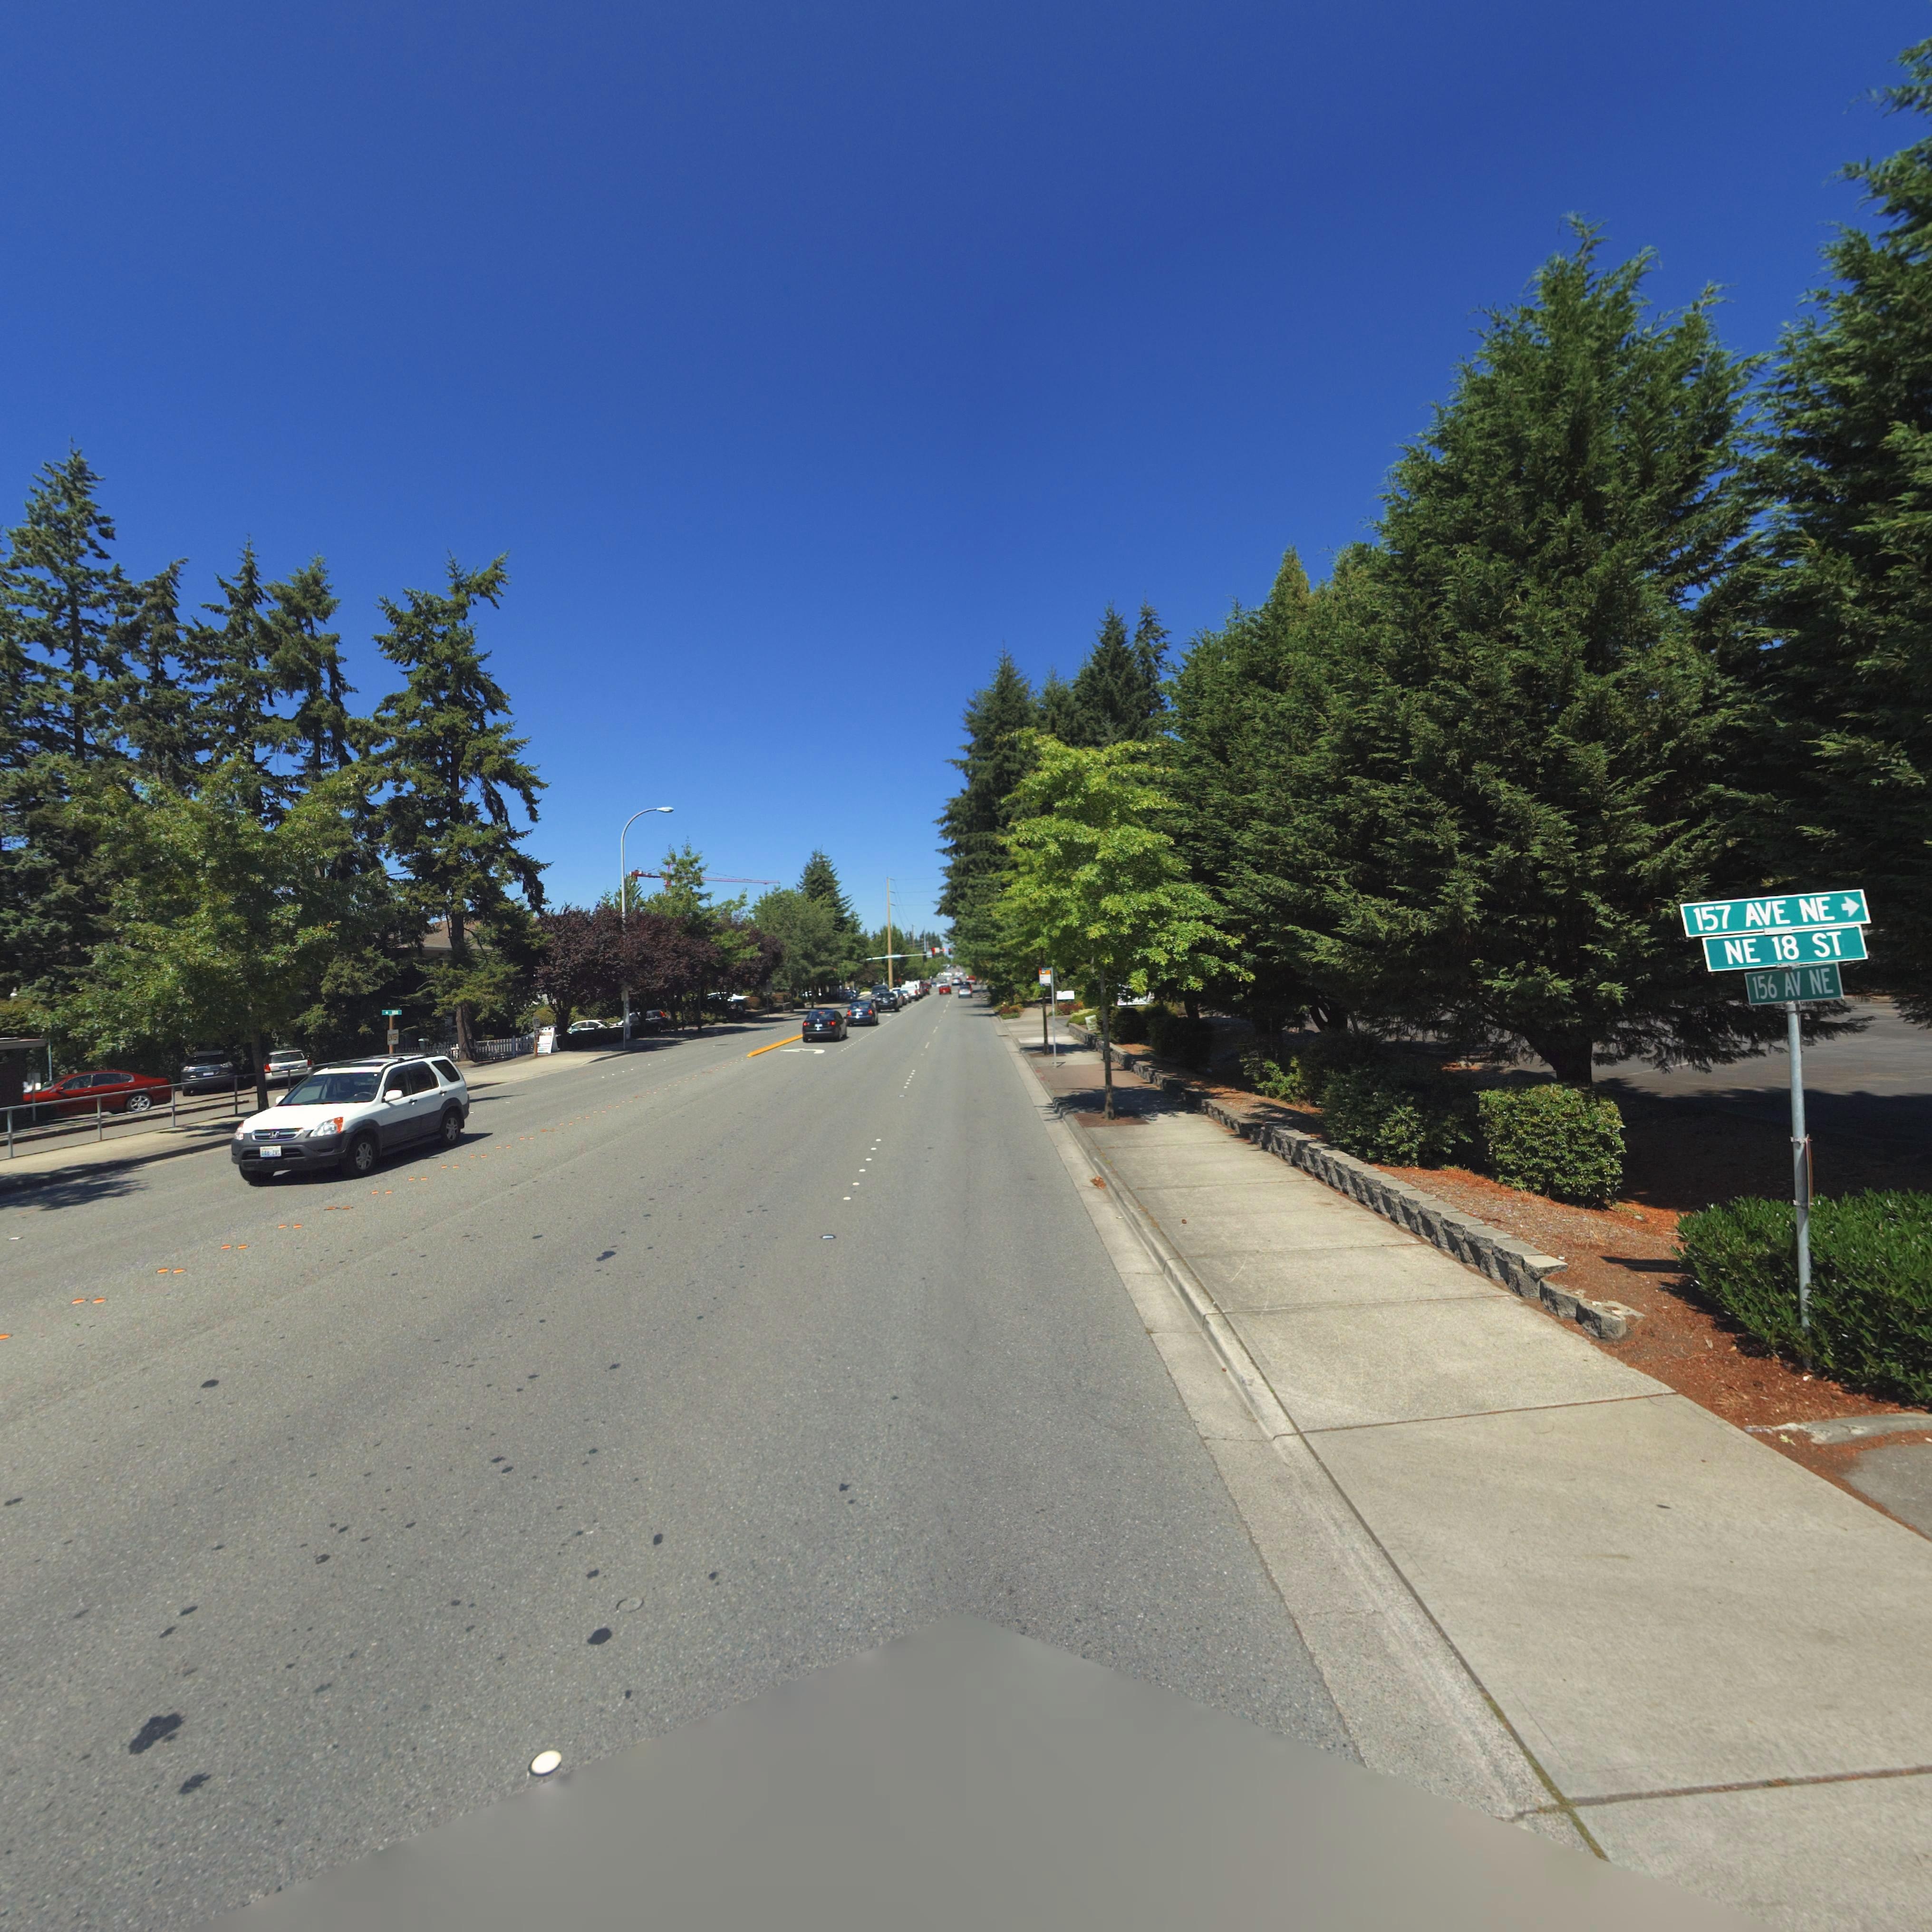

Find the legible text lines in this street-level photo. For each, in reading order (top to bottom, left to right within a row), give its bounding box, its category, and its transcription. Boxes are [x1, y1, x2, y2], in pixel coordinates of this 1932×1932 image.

[1721, 929, 1846, 966] StreetName: NE 18 ST
[1750, 965, 1836, 1001] StreetName: 156 AV NE